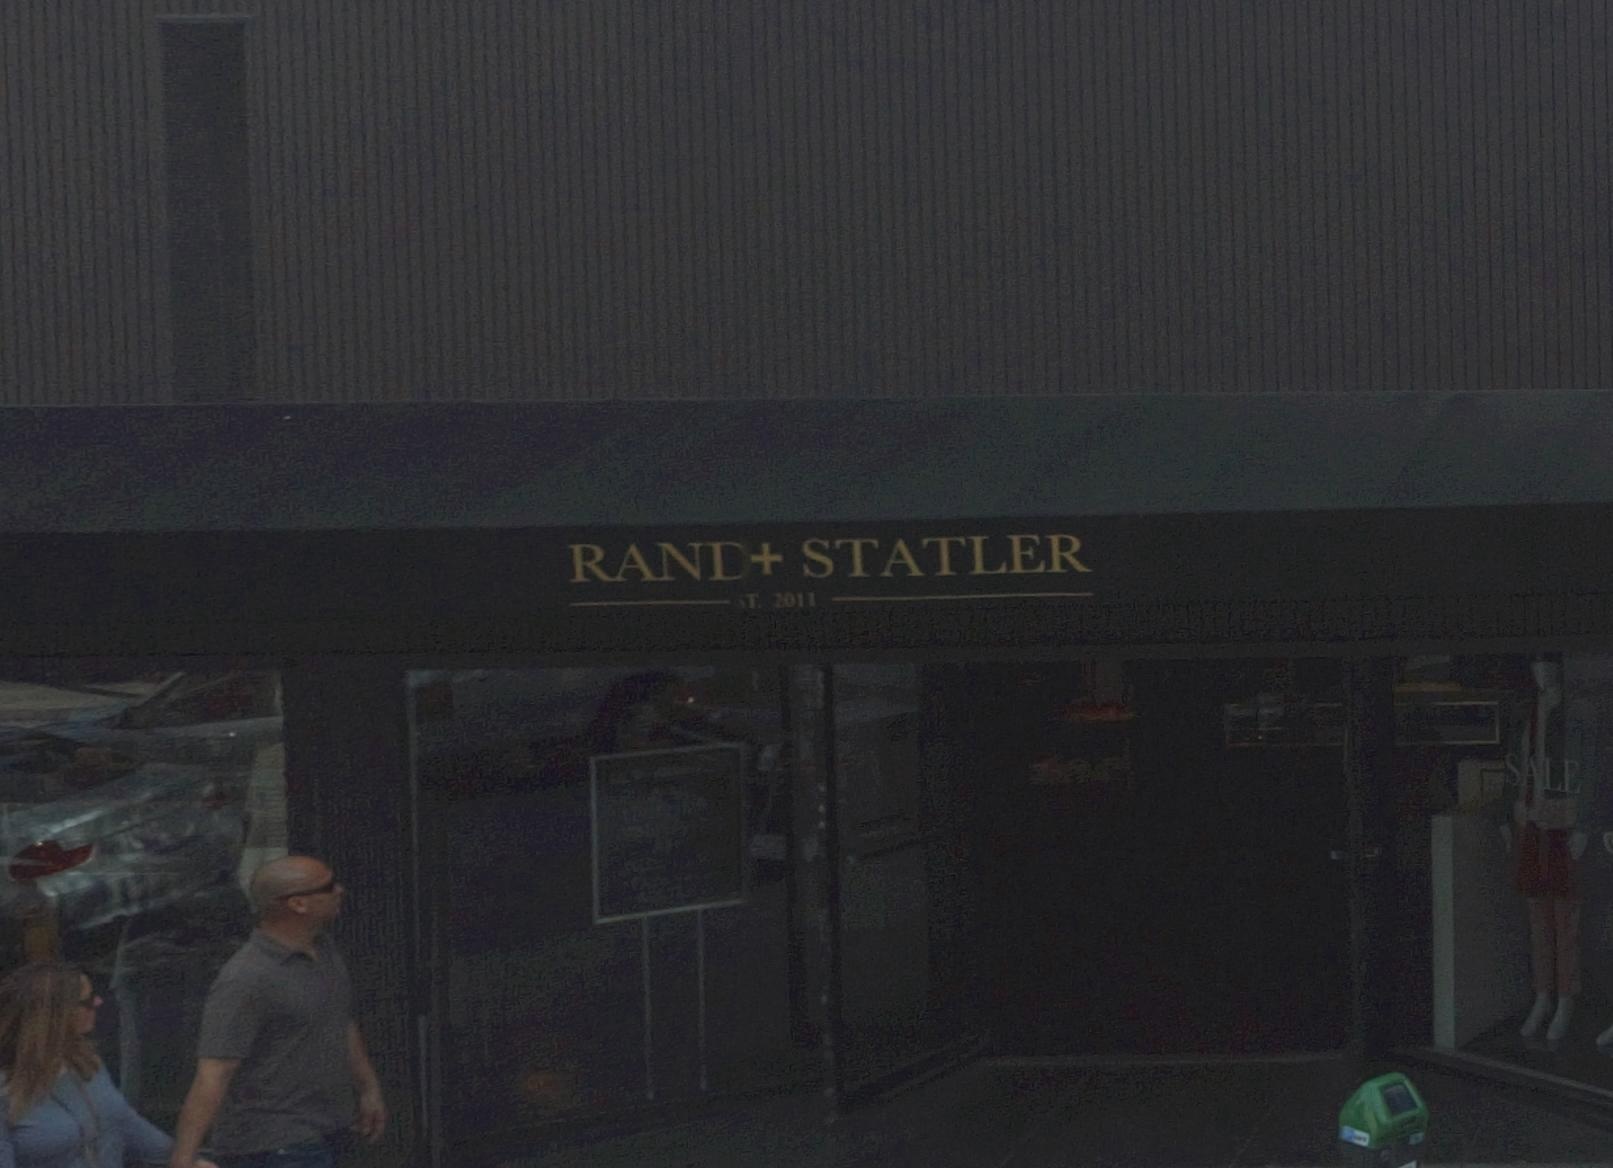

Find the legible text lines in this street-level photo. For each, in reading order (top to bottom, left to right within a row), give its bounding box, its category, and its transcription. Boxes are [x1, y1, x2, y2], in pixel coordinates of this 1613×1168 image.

[563, 531, 1099, 588] BusinessName: RAN*+ STATLER
[741, 590, 766, 612] None: T.
[768, 588, 820, 612] None: 2011
[1502, 750, 1585, 797] None: SALE